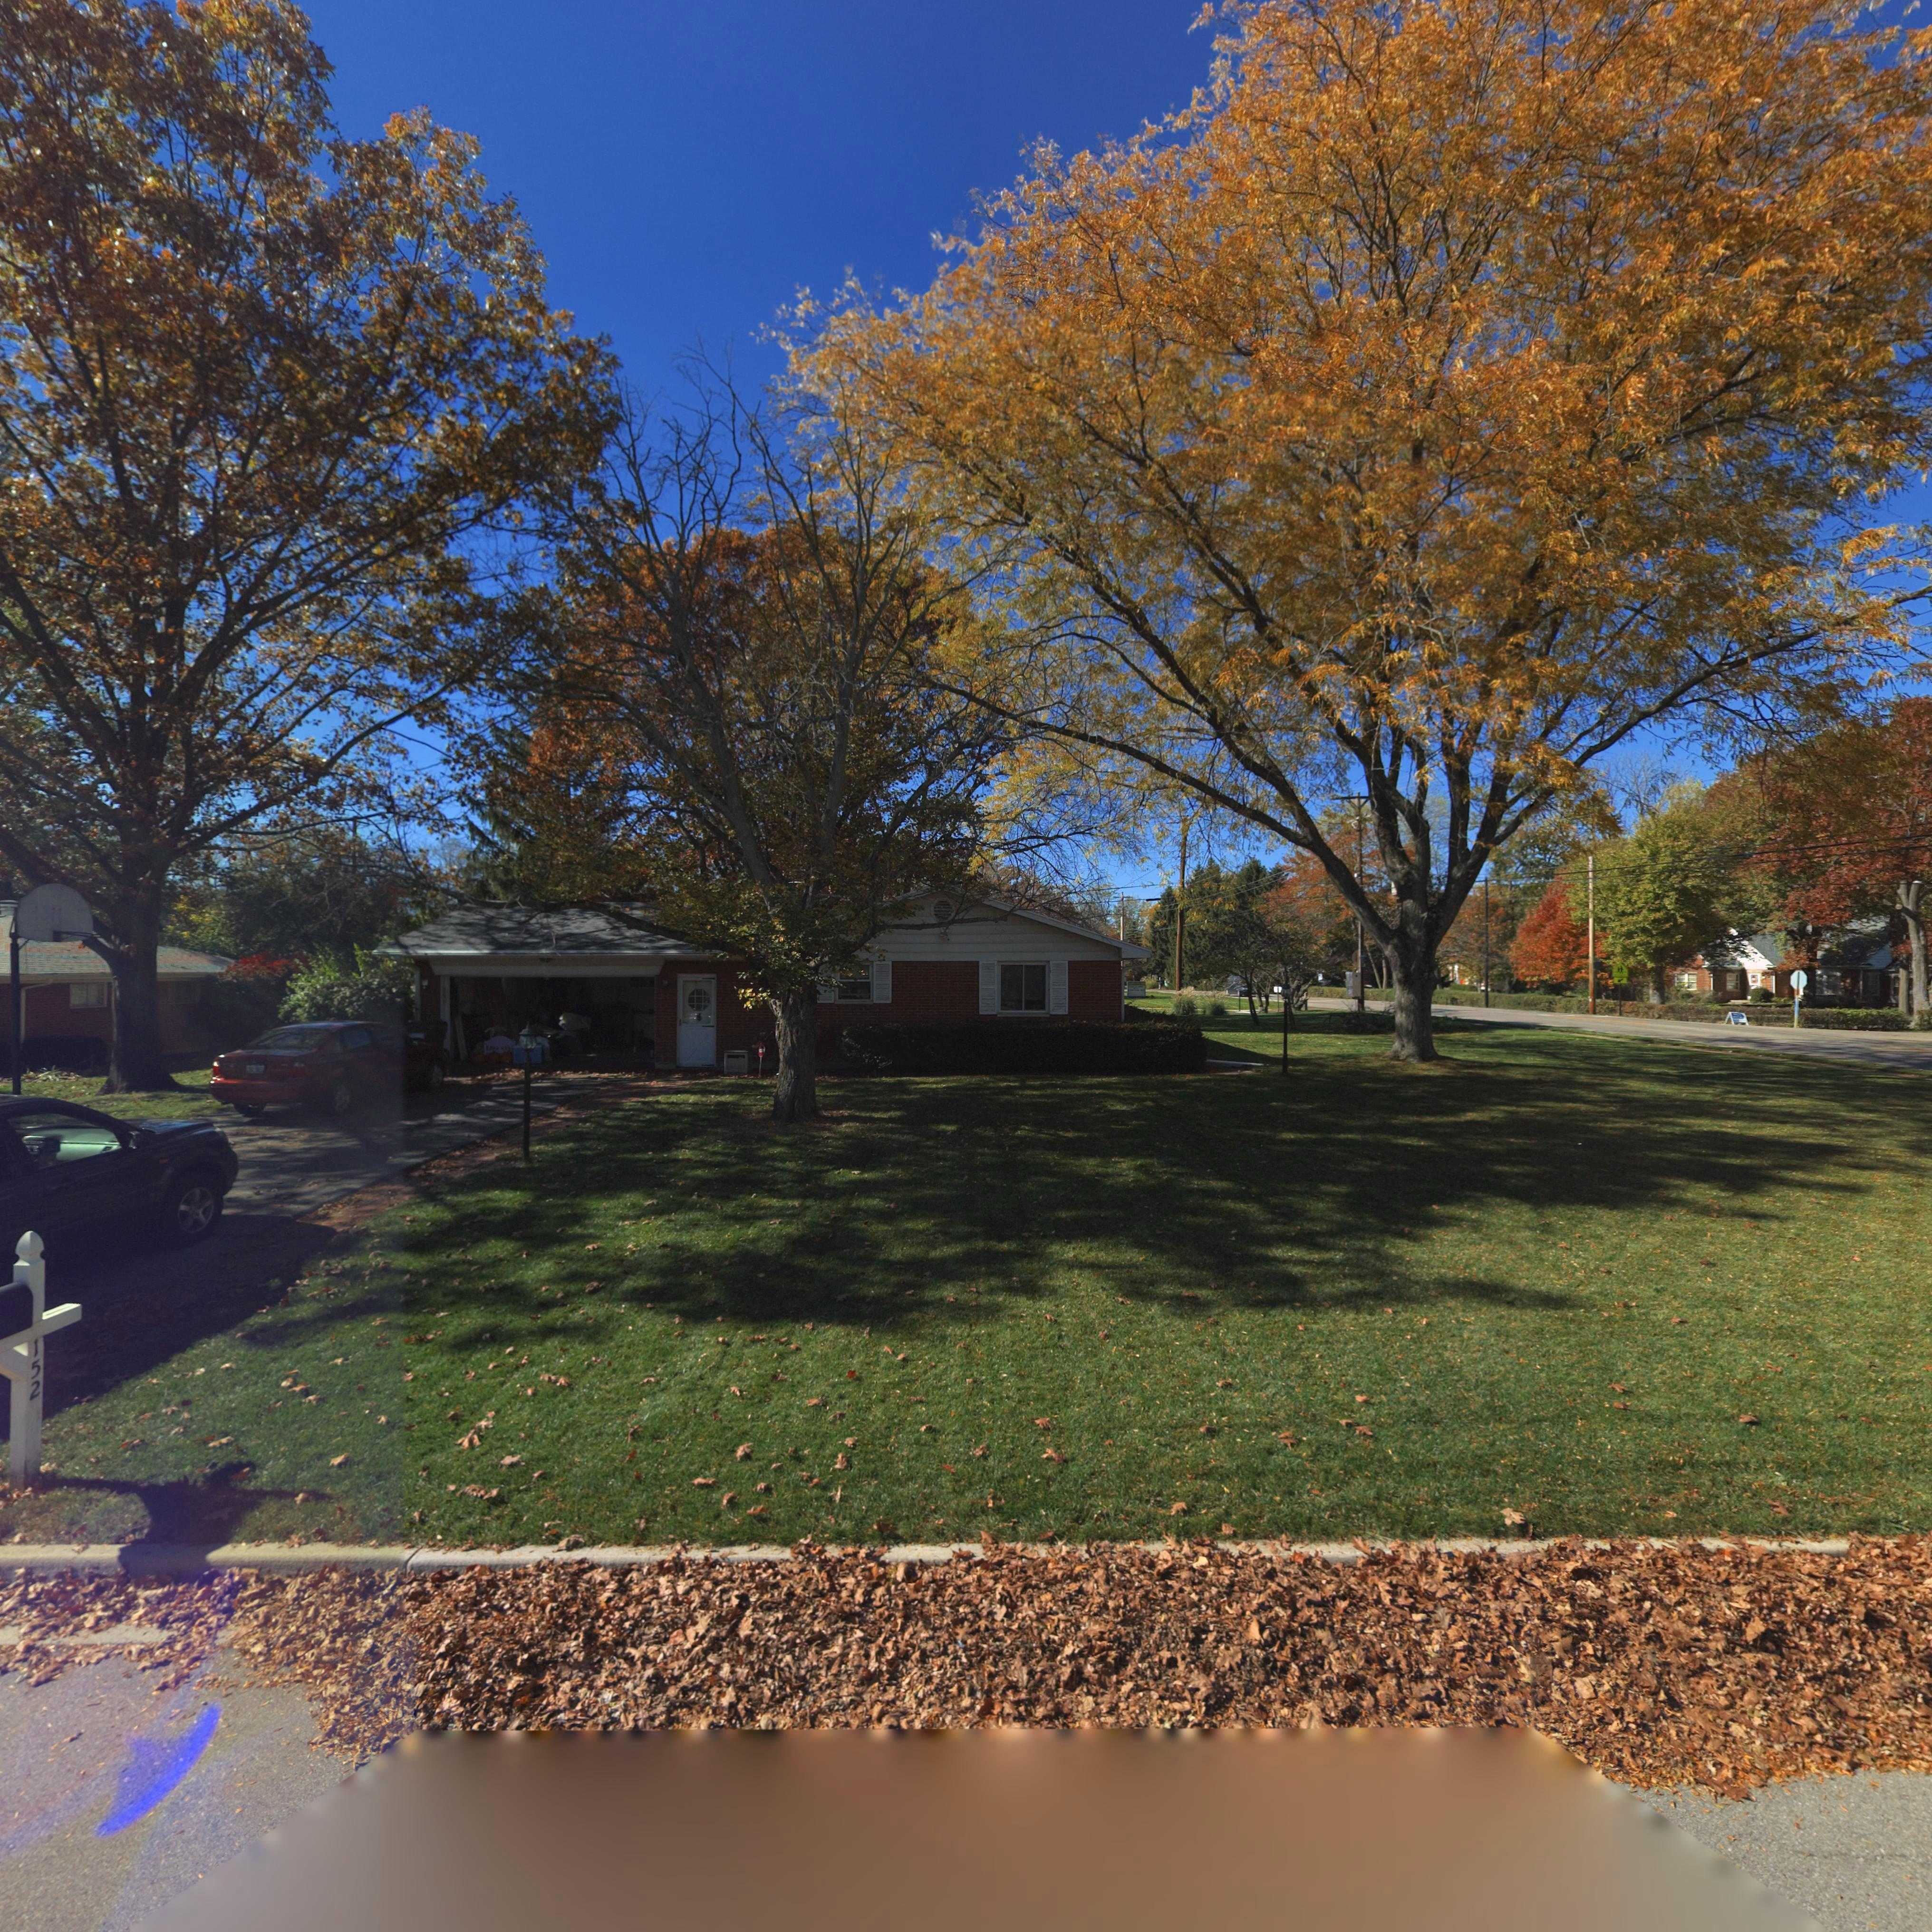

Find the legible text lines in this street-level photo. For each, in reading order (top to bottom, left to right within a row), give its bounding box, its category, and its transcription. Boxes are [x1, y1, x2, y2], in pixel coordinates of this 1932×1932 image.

[28, 1336, 42, 1404] StreetNumber: 152